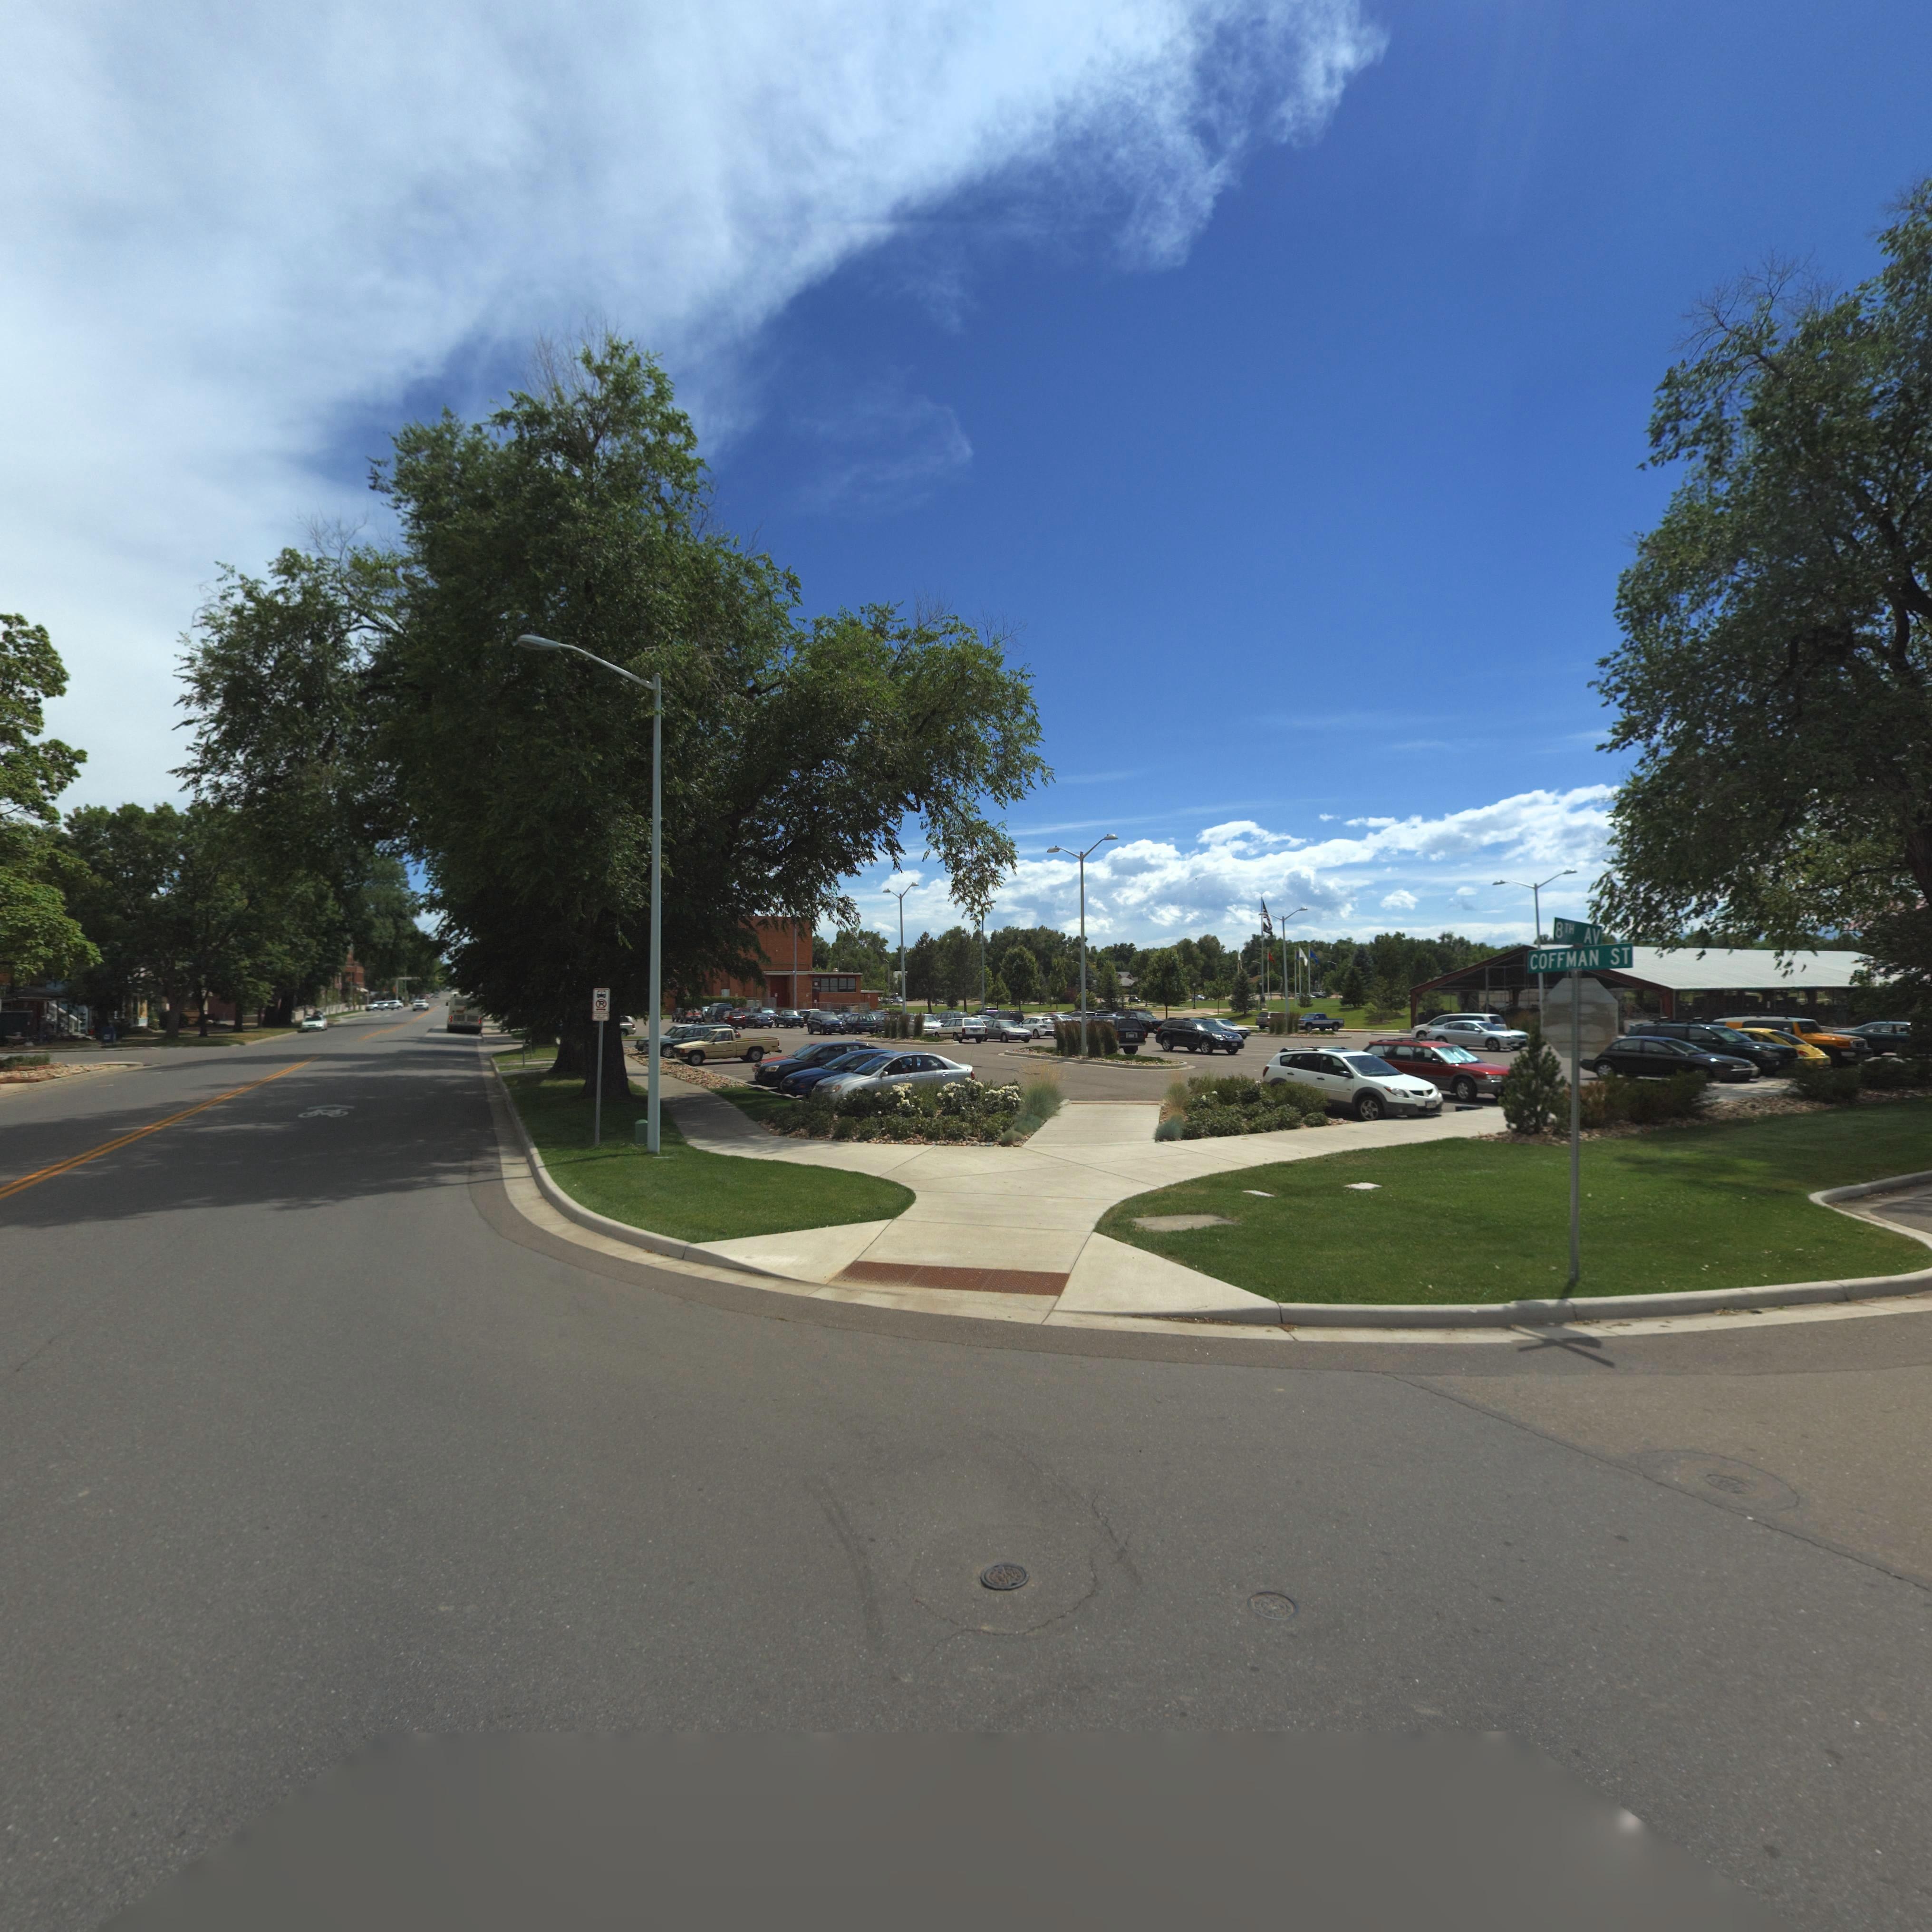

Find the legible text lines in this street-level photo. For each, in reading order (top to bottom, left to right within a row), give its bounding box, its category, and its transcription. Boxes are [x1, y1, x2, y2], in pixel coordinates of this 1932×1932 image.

[1554, 919, 1601, 946] StreetName: 8TH AV
[1529, 946, 1631, 971] StreetName: COFFMAN ST